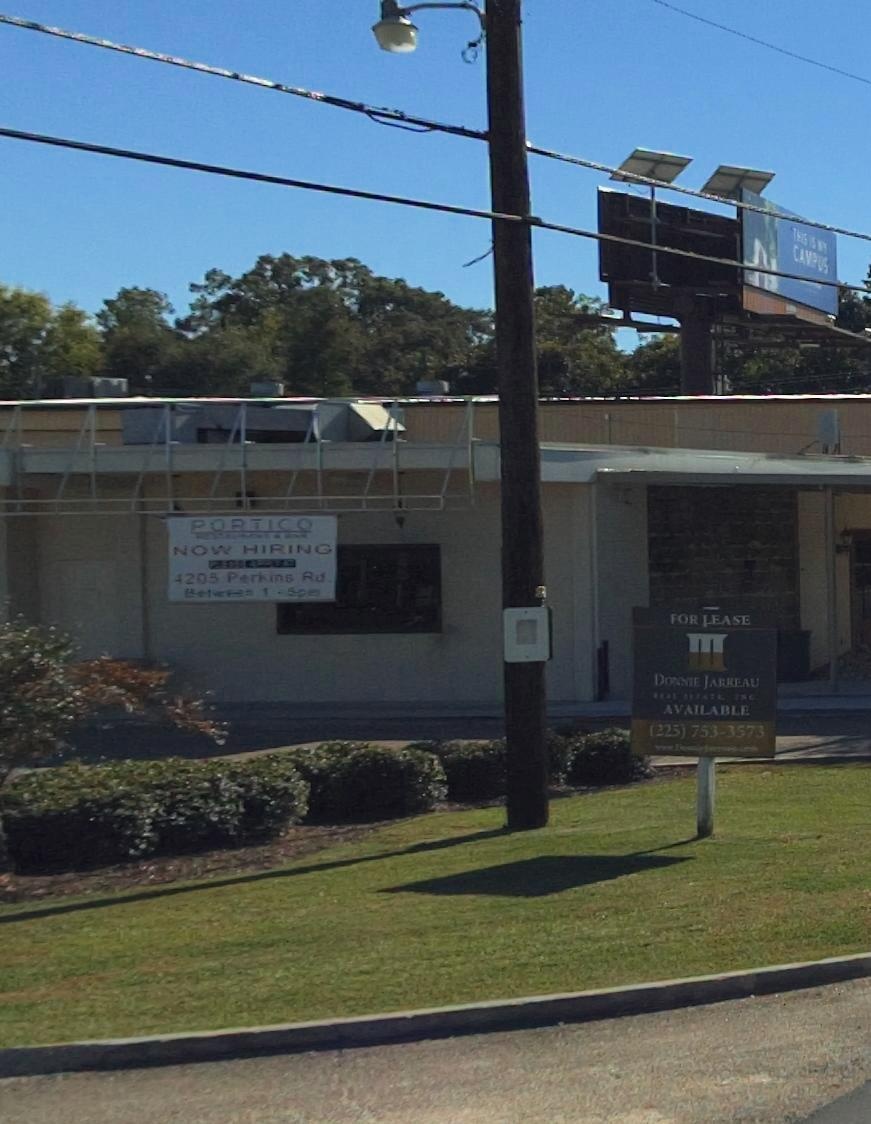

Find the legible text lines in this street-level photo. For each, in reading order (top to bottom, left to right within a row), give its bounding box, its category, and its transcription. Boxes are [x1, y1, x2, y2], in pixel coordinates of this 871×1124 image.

[789, 223, 830, 258] None: THIS IS MY
[791, 241, 831, 279] None: CAMPUS
[188, 517, 315, 536] BusinessName: PORTICO
[173, 543, 333, 558] None: NOW HIRING
[172, 570, 221, 587] StreetNumber: 4205
[226, 569, 334, 585] StreetName: Perkins Rd.
[286, 586, 323, 599] None: 5pm
[669, 613, 753, 627] None: FOR LEASE
[654, 671, 761, 691] None: DONNIE JARREAU
[661, 702, 752, 717] None: AVAILABLE
[648, 721, 767, 741] None: (225)753-3573